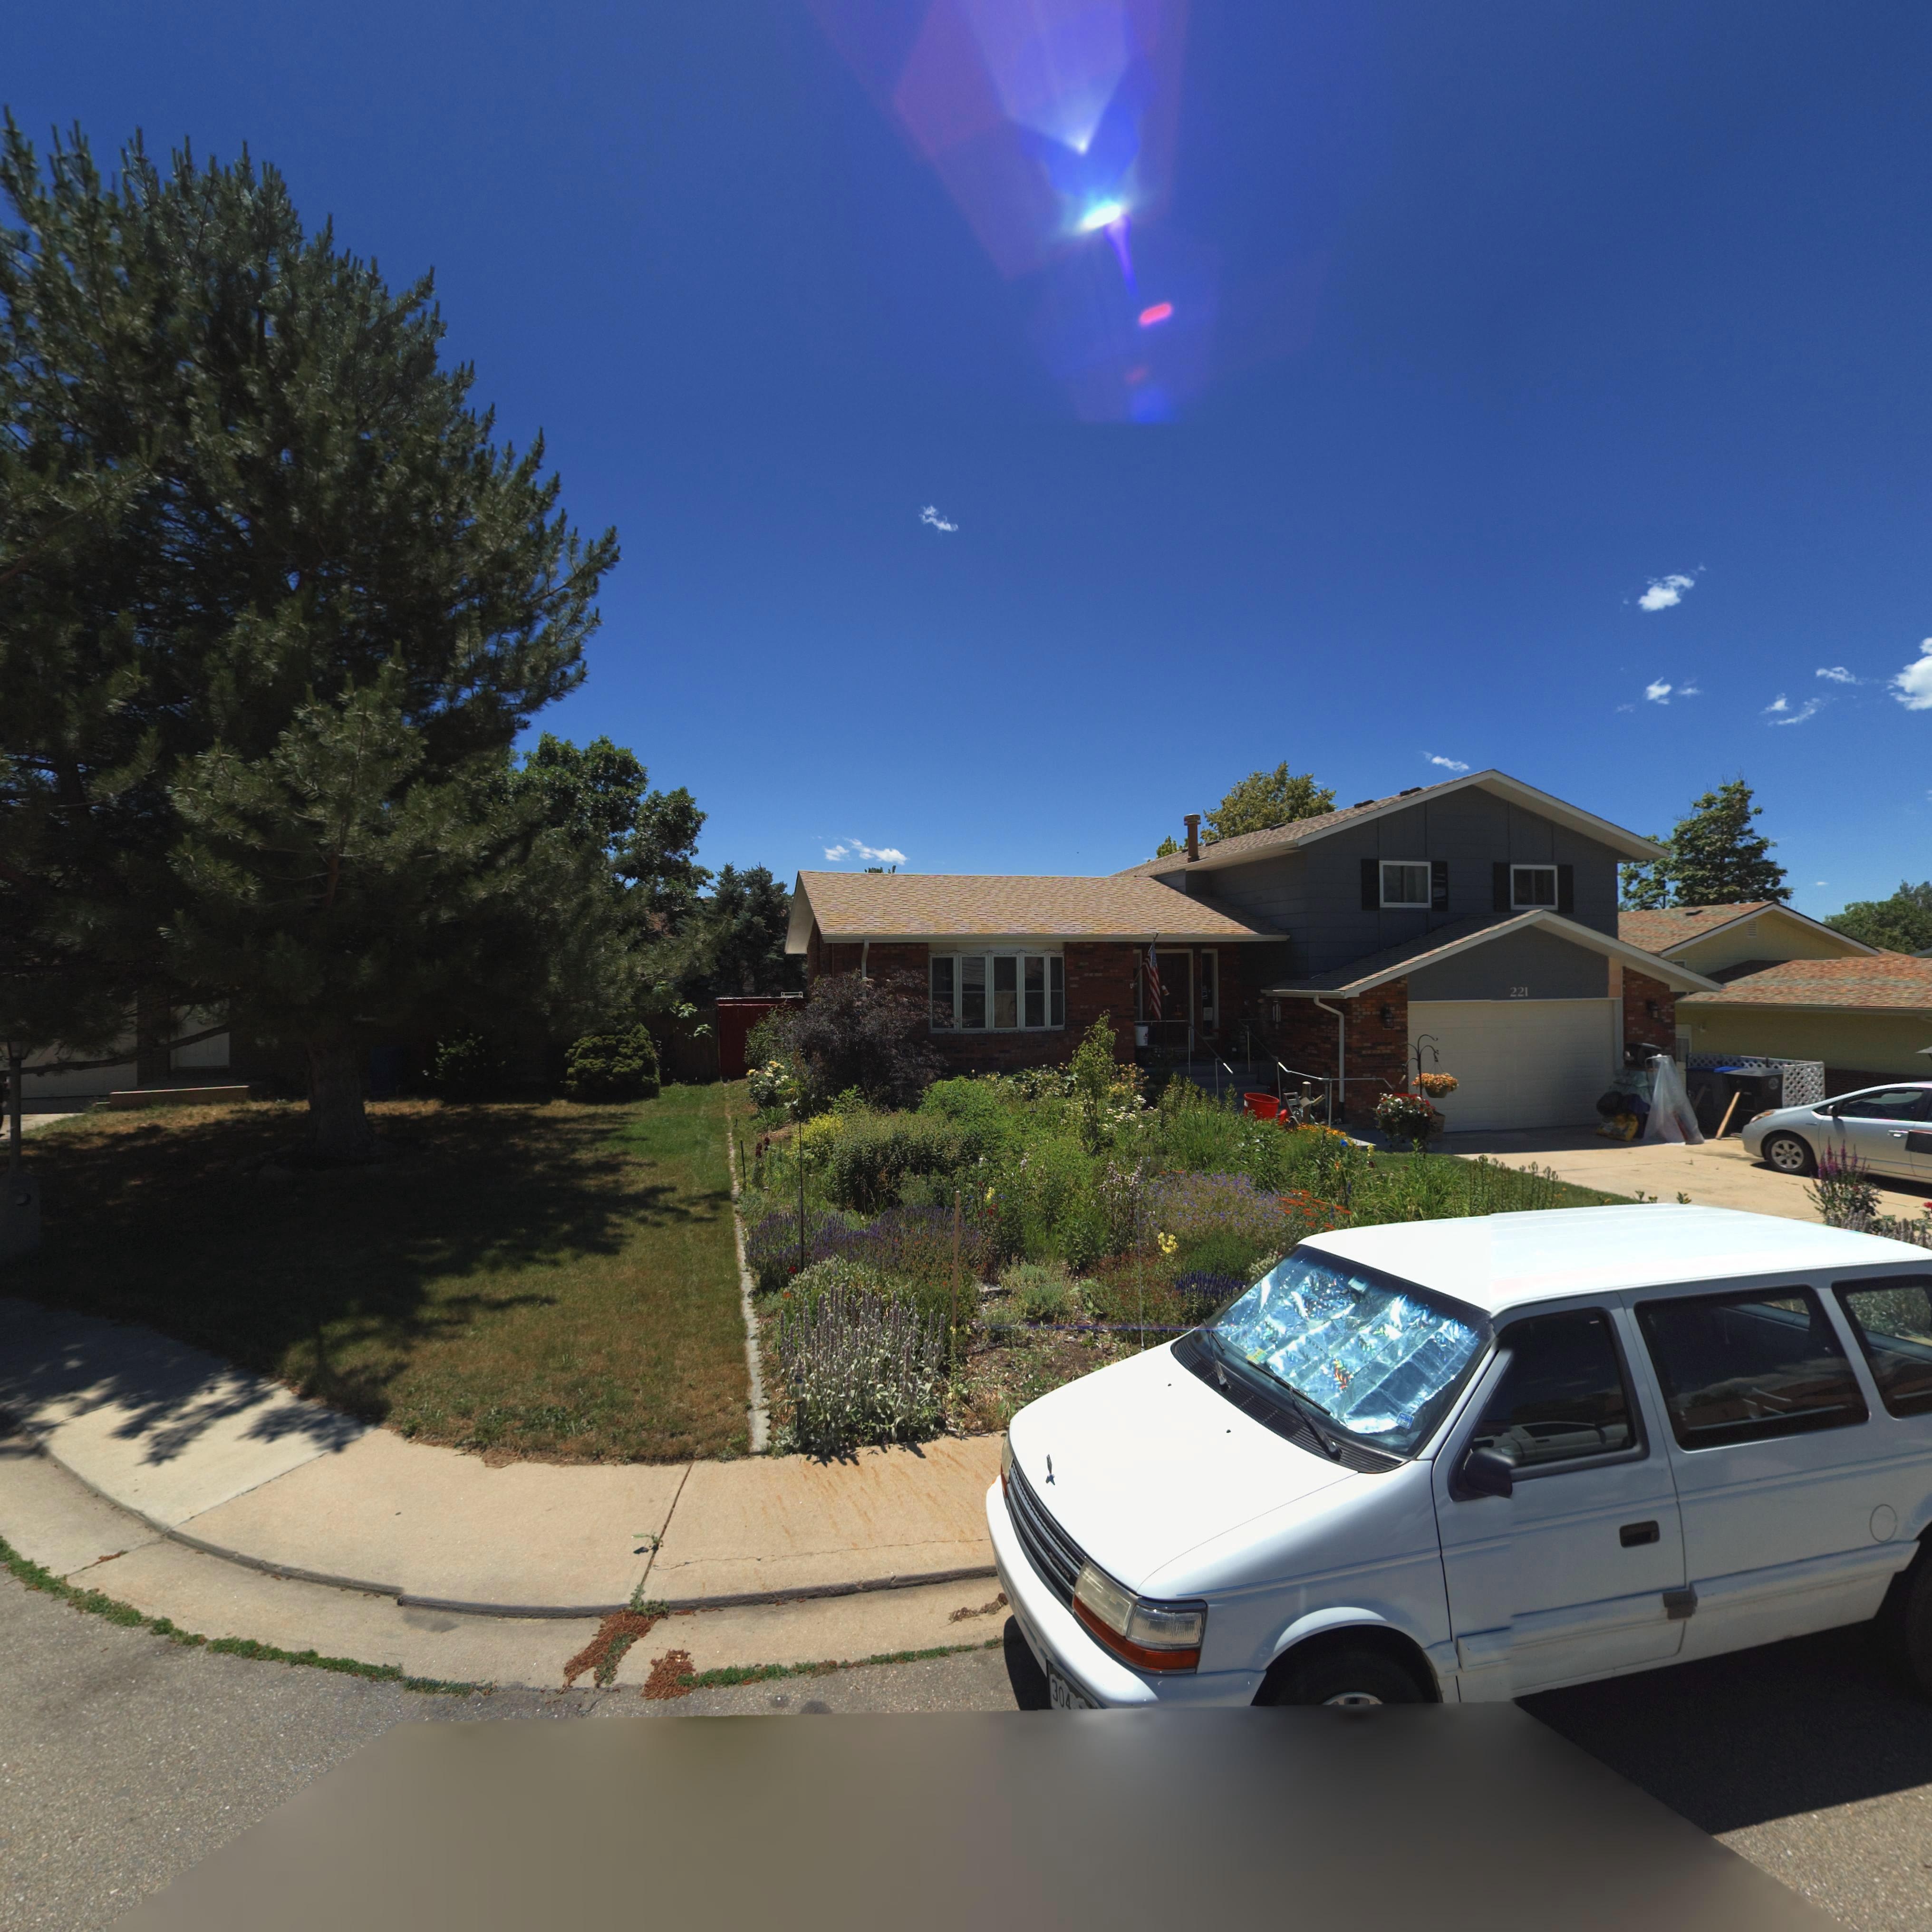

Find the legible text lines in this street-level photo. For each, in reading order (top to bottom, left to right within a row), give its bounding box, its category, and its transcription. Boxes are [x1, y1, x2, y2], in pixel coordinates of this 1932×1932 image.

[1509, 986, 1528, 997] StreetNumber: 221